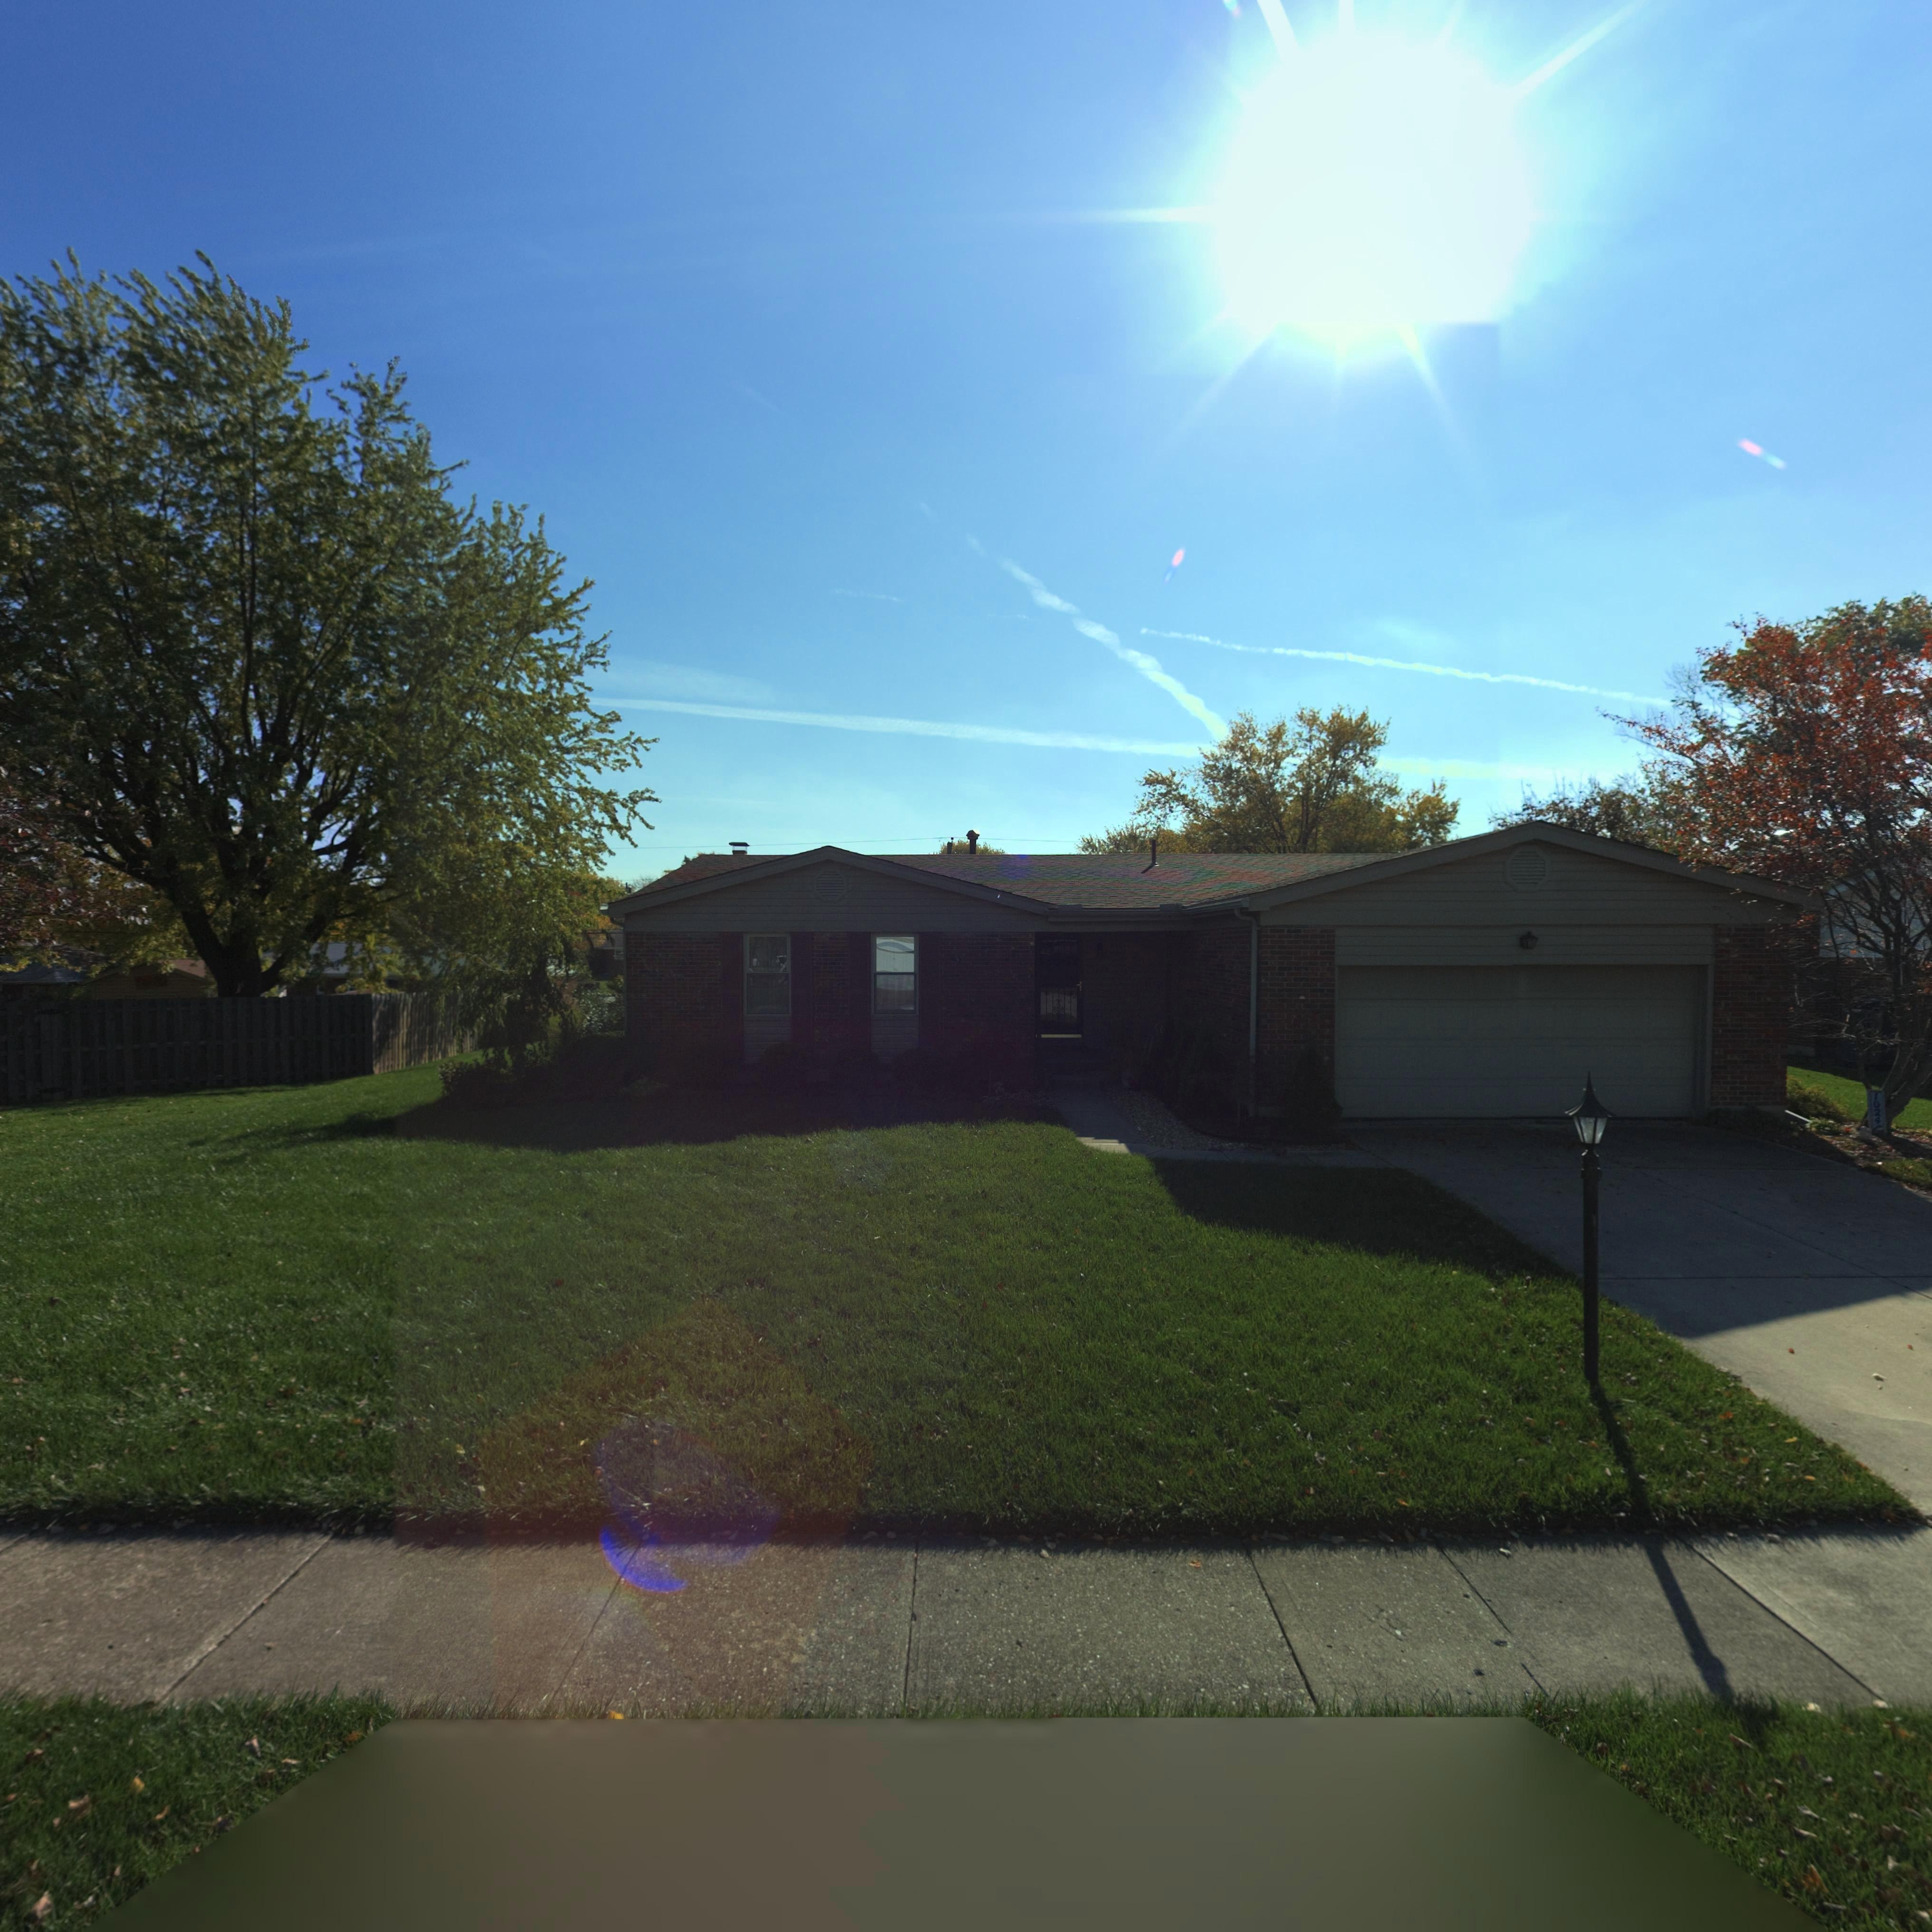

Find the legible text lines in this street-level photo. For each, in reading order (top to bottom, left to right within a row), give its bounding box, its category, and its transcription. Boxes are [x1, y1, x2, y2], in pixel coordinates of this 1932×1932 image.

[1873, 1092, 1882, 1124] StreetNumber: 1024